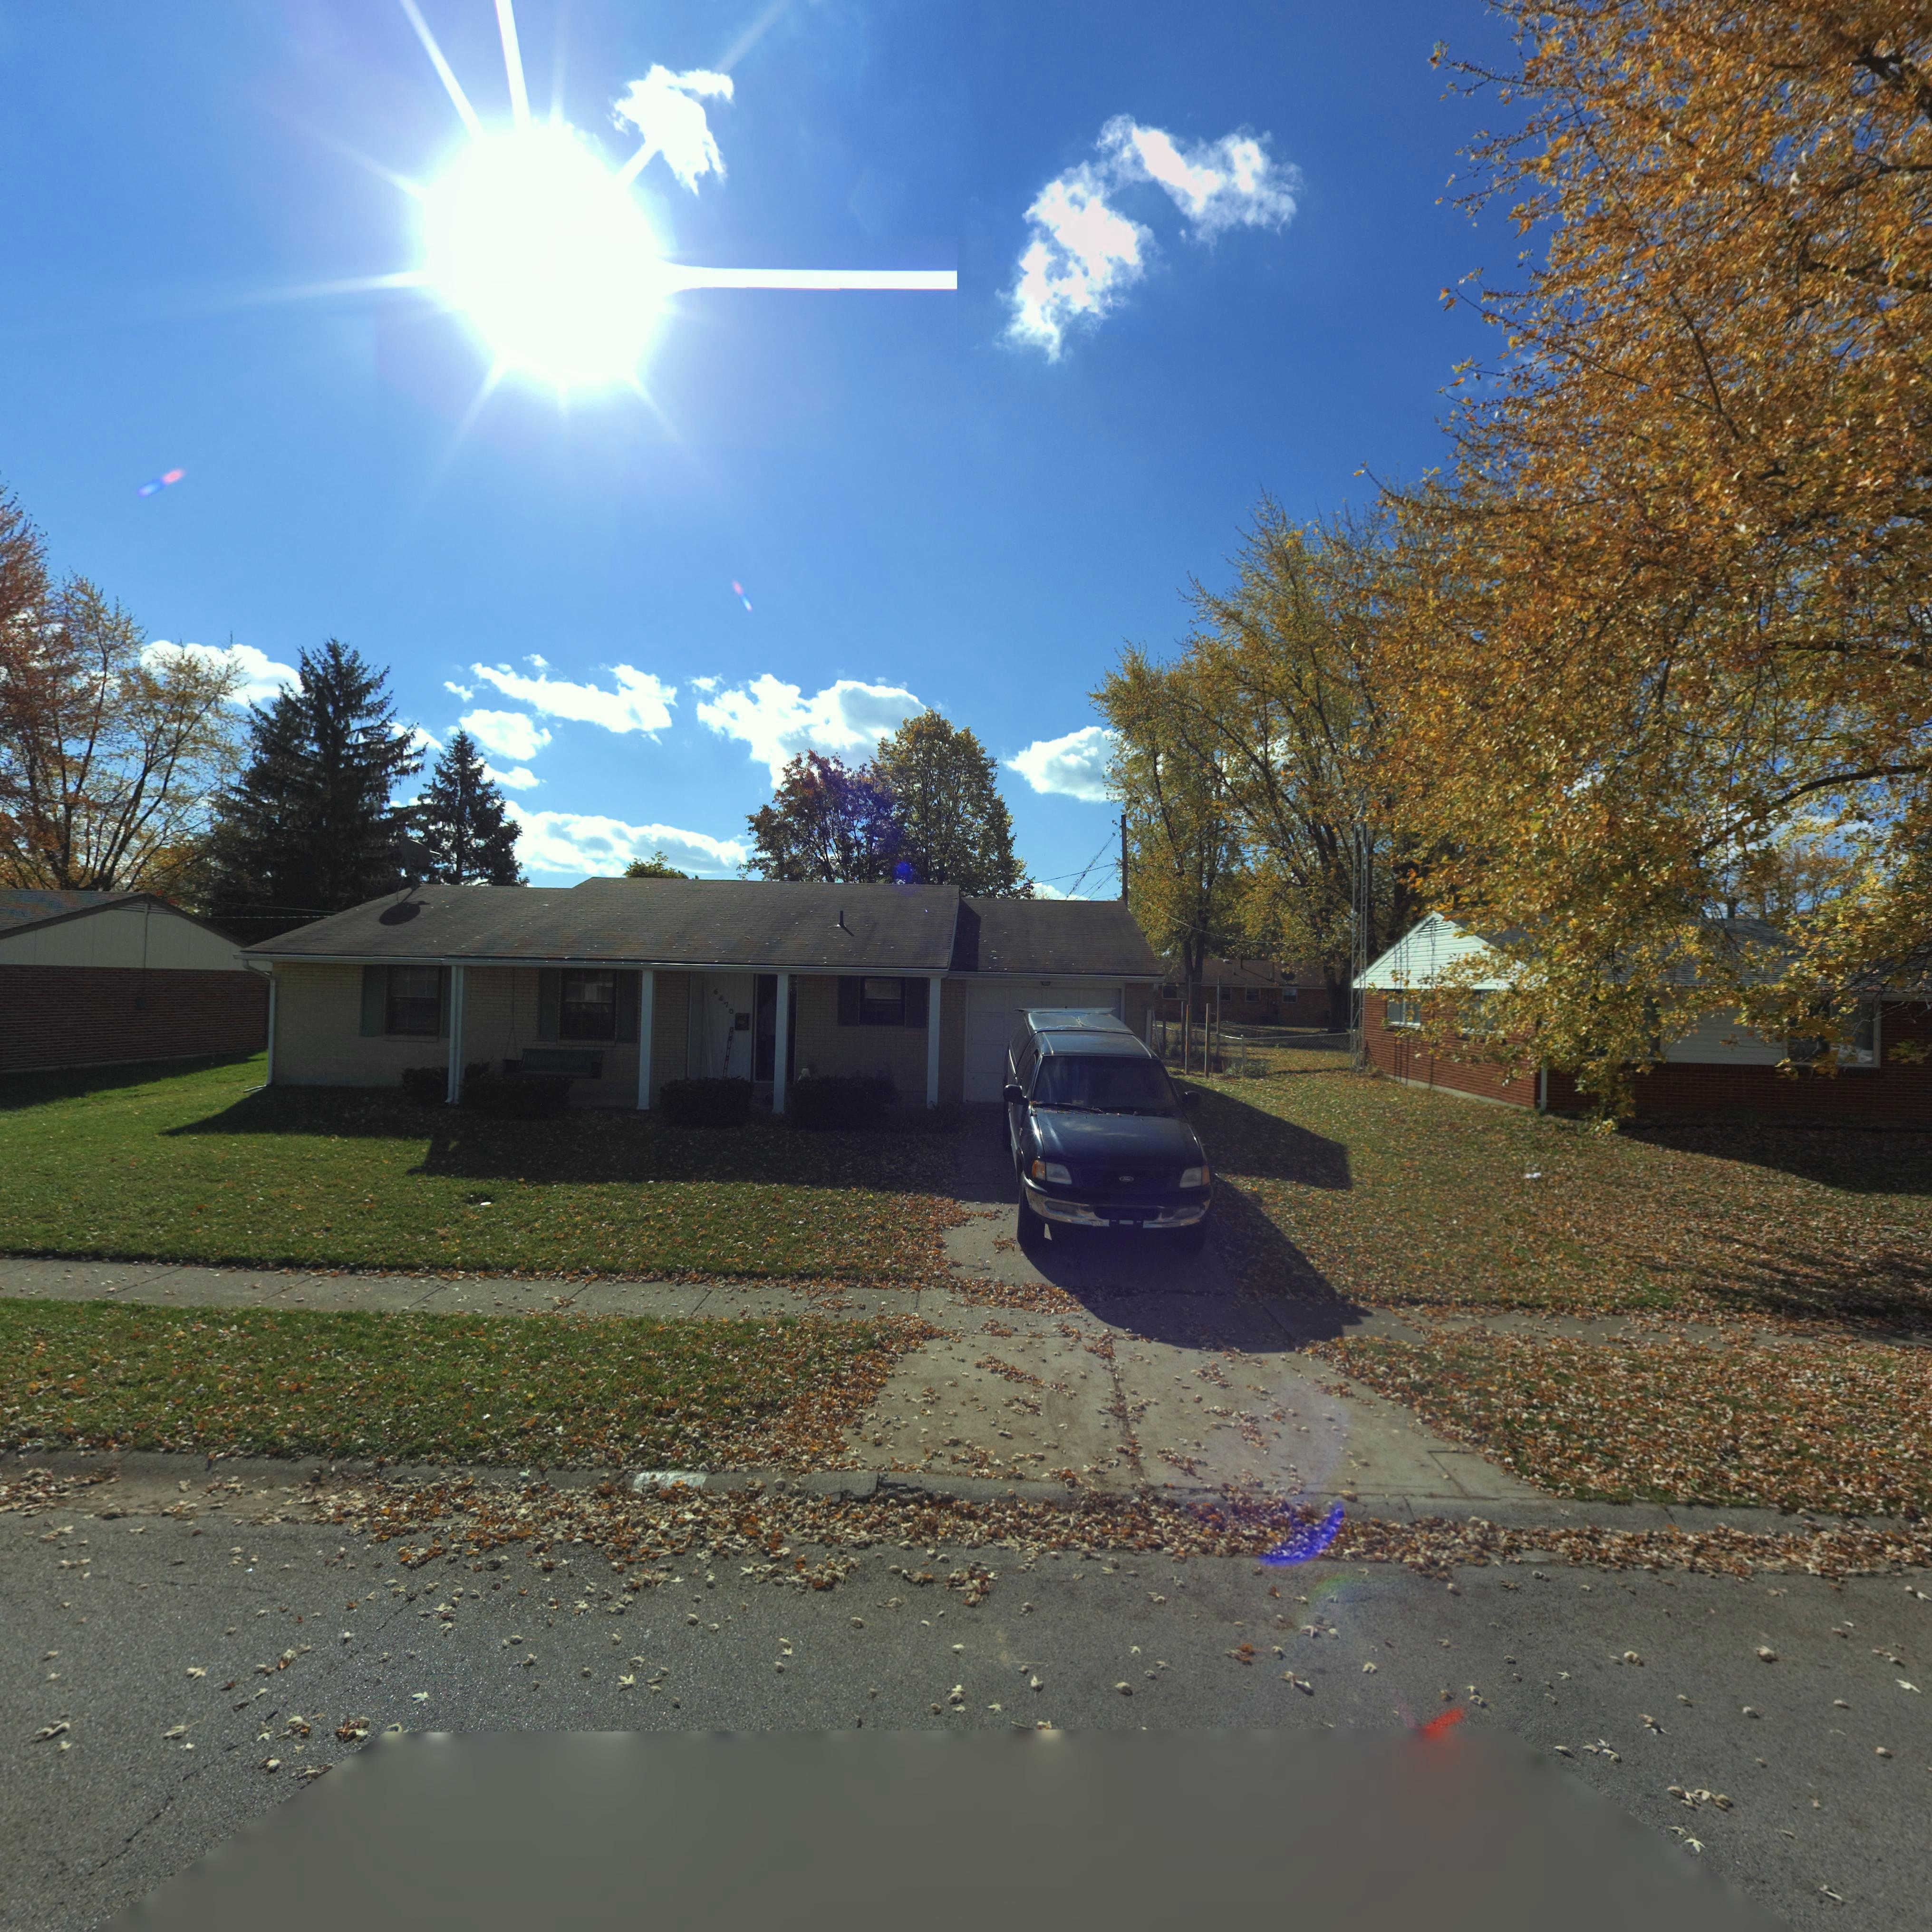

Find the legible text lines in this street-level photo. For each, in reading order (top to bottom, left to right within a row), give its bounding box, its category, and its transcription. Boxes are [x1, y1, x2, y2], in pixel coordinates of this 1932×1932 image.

[712, 987, 735, 1015] StreetNumber: 6*70